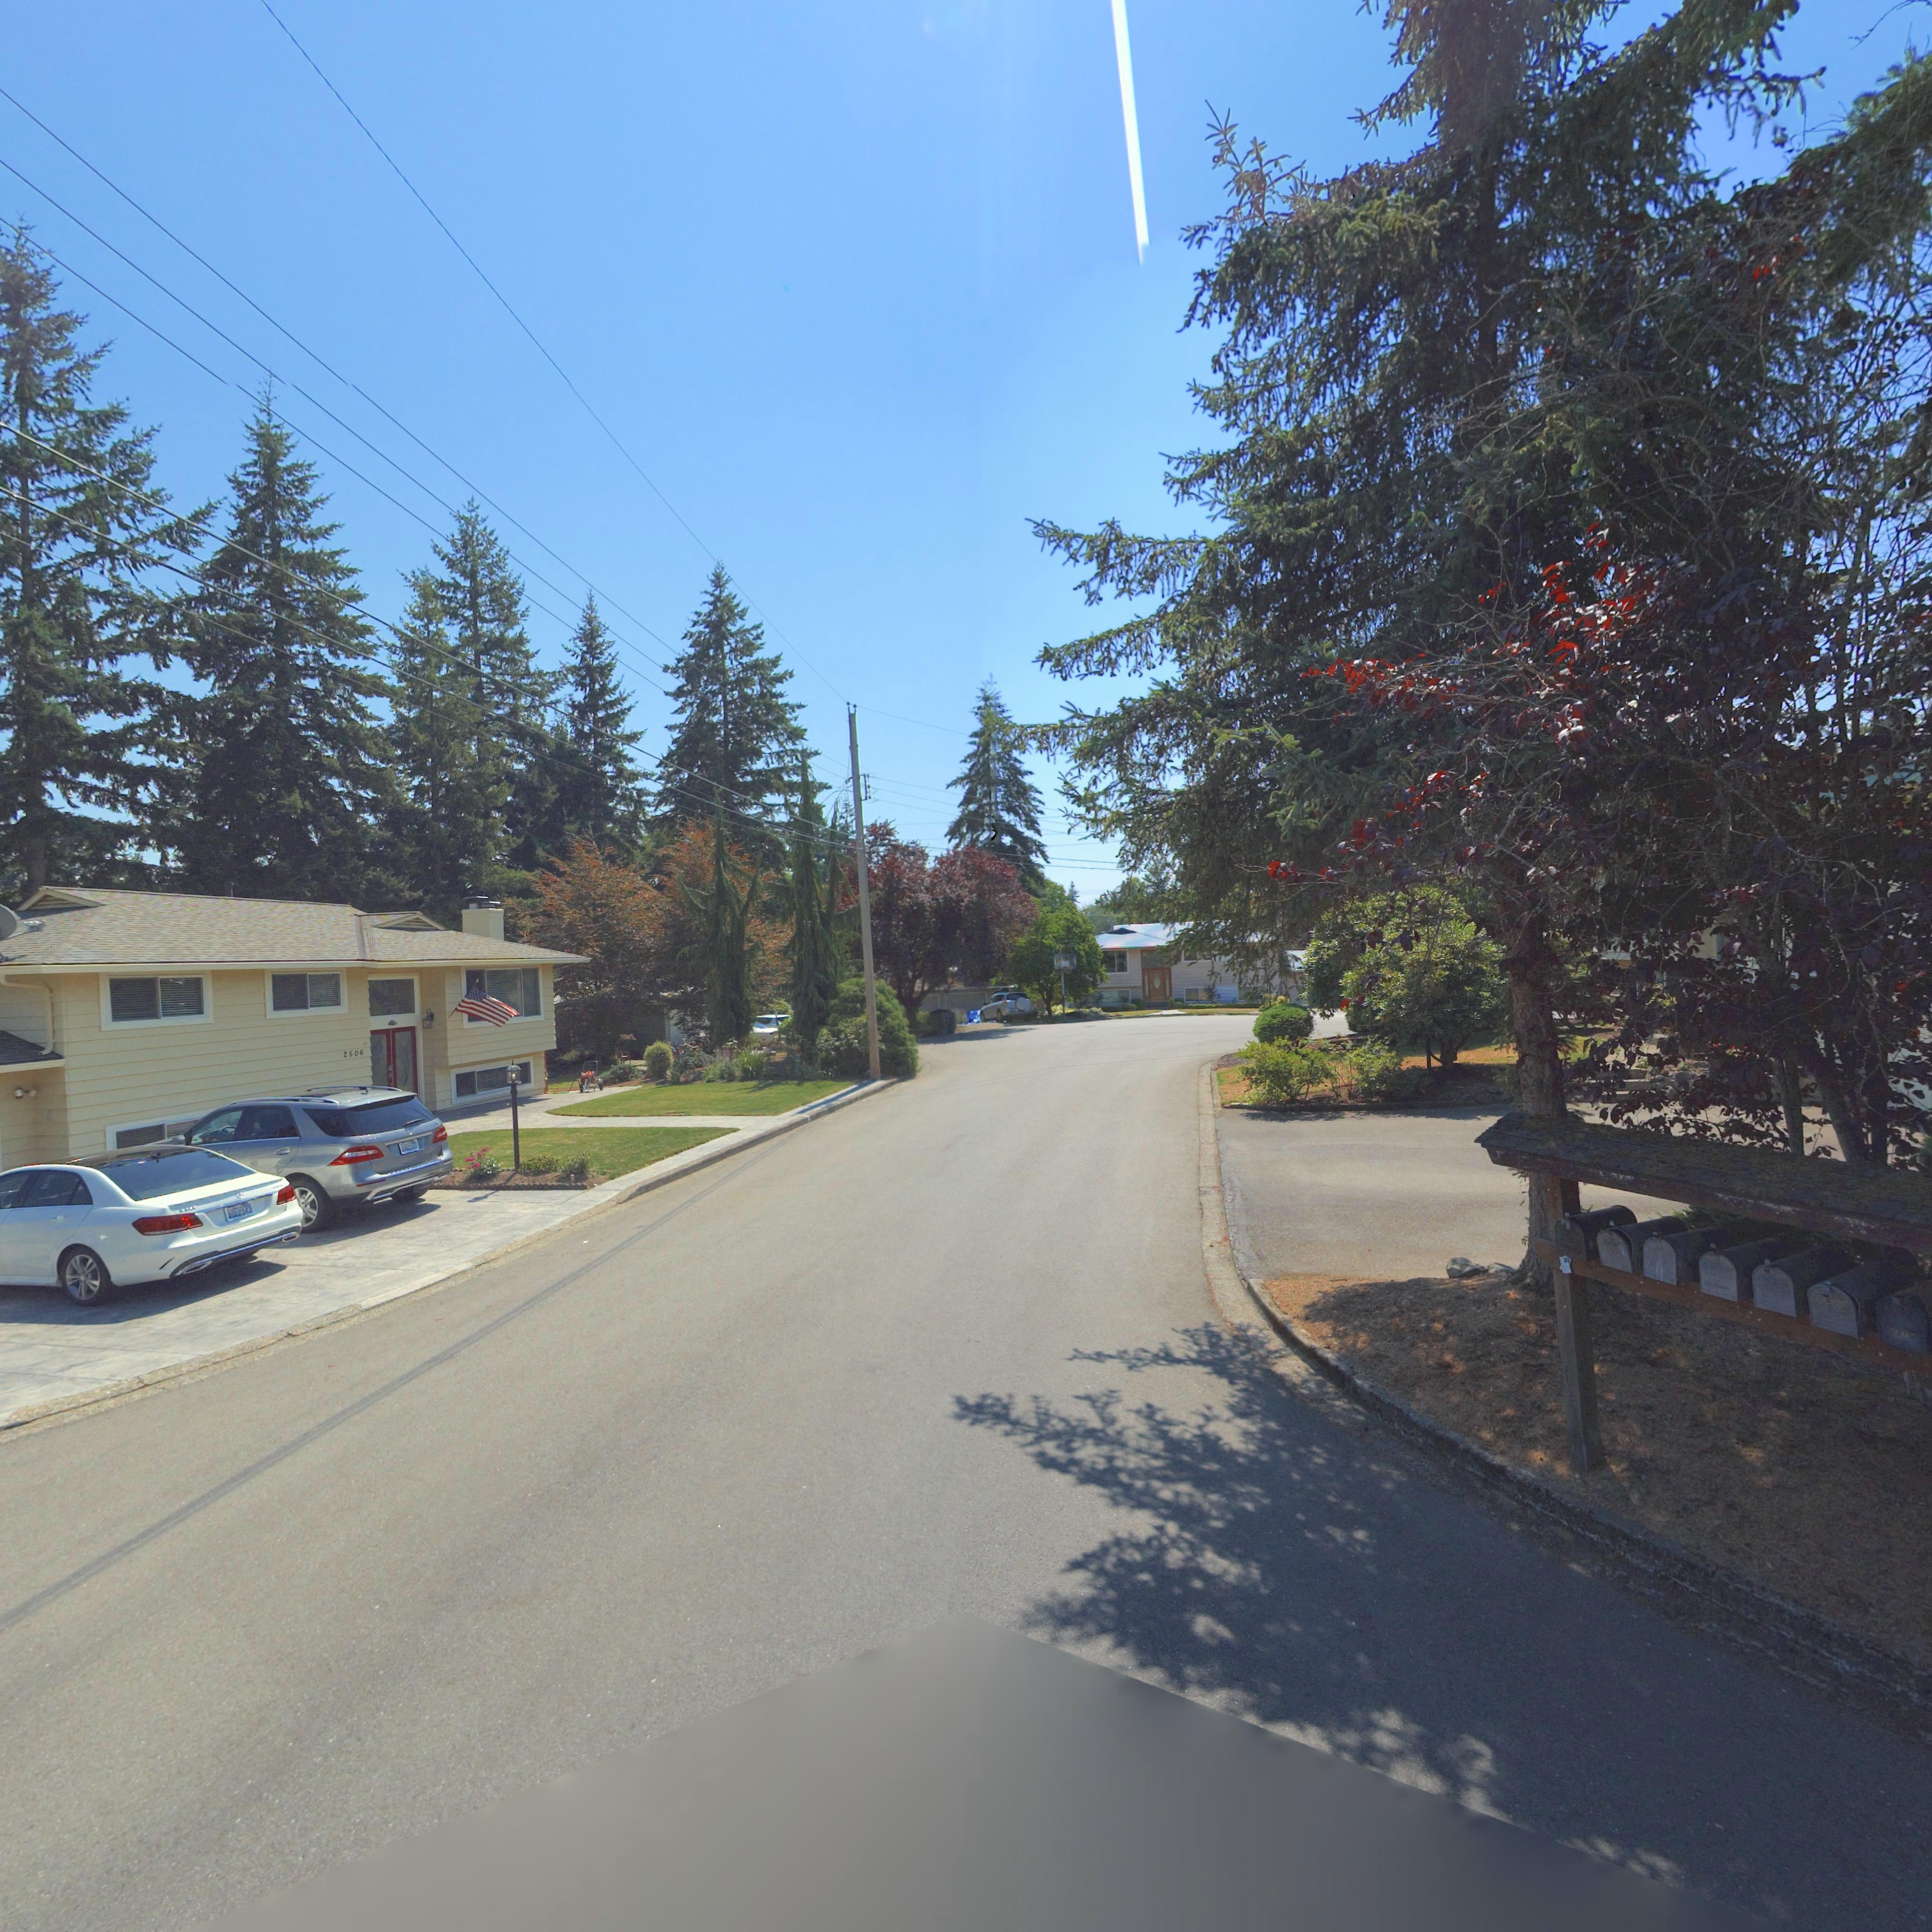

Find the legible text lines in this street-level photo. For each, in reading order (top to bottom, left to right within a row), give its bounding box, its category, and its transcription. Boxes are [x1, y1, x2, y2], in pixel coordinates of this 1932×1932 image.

[343, 1049, 364, 1058] StreetNumber: 2506